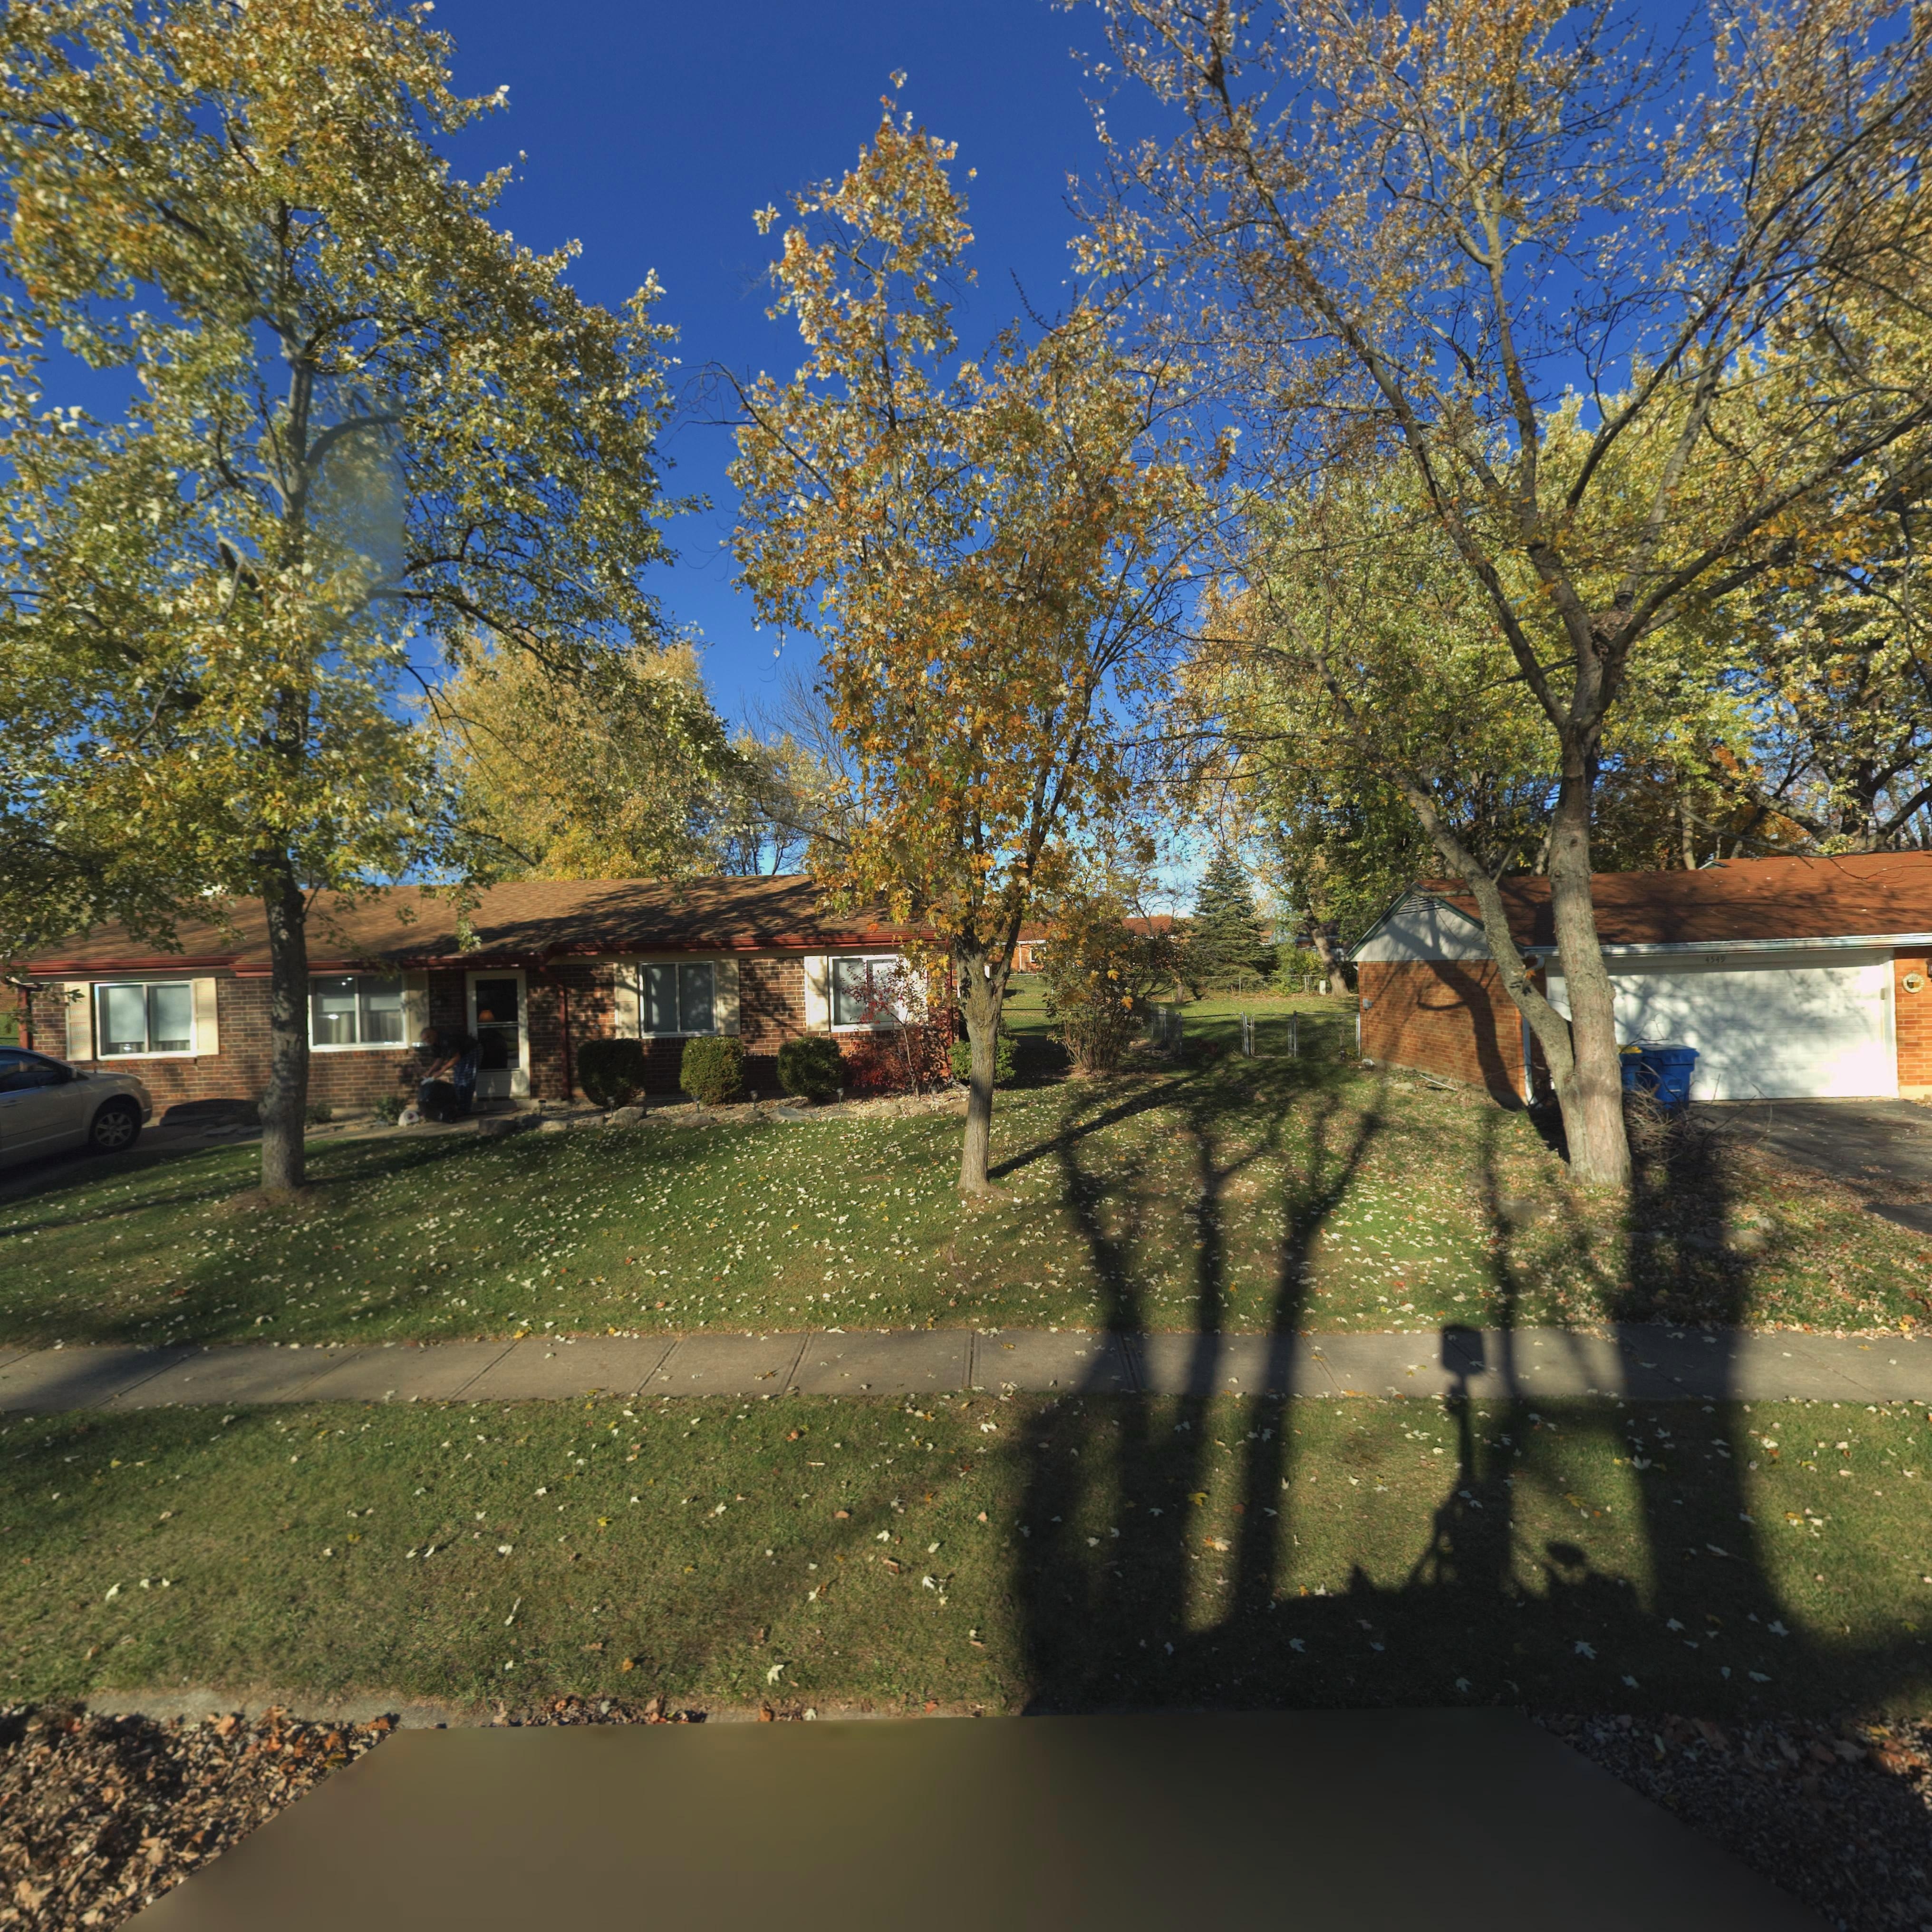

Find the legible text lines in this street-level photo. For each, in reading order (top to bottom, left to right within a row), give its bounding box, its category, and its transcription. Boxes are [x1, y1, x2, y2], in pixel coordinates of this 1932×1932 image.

[1704, 955, 1726, 963] StreetNumber: 4549